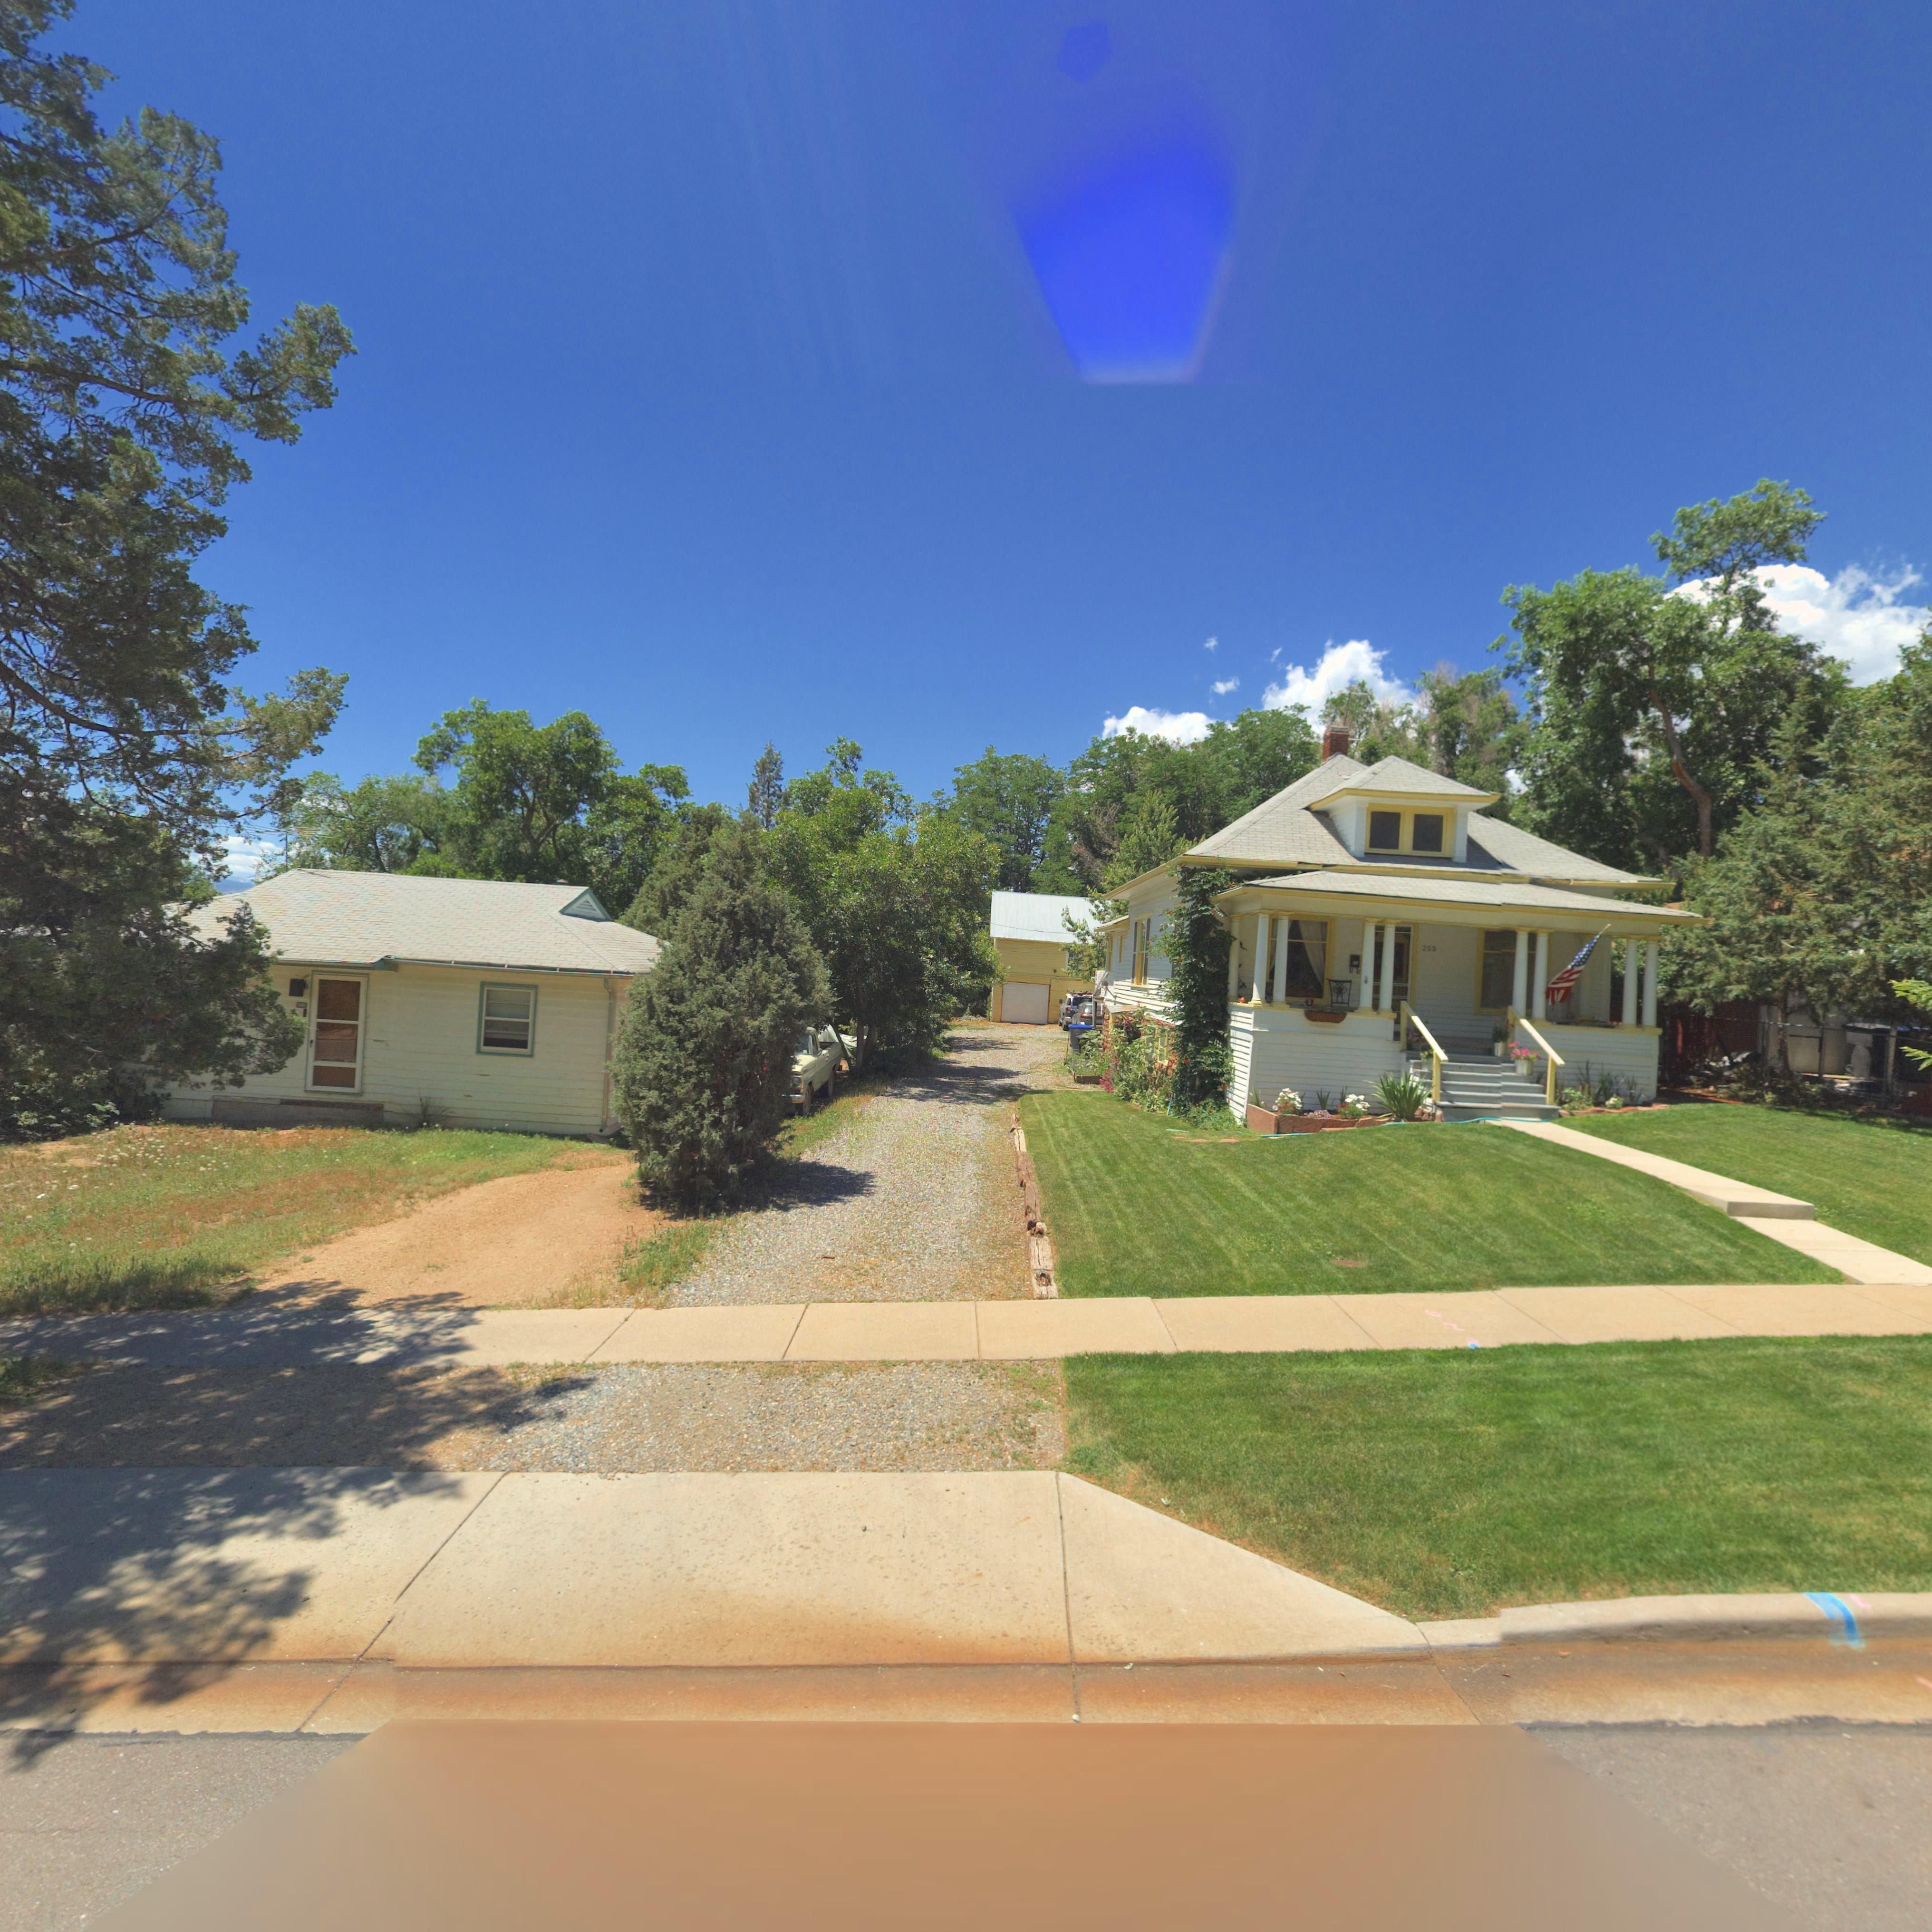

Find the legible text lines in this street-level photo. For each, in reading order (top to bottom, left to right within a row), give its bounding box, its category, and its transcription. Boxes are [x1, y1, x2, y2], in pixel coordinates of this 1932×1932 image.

[1422, 945, 1436, 952] StreetNumber: 253
[296, 1003, 305, 1007] StreetNumber: 2**